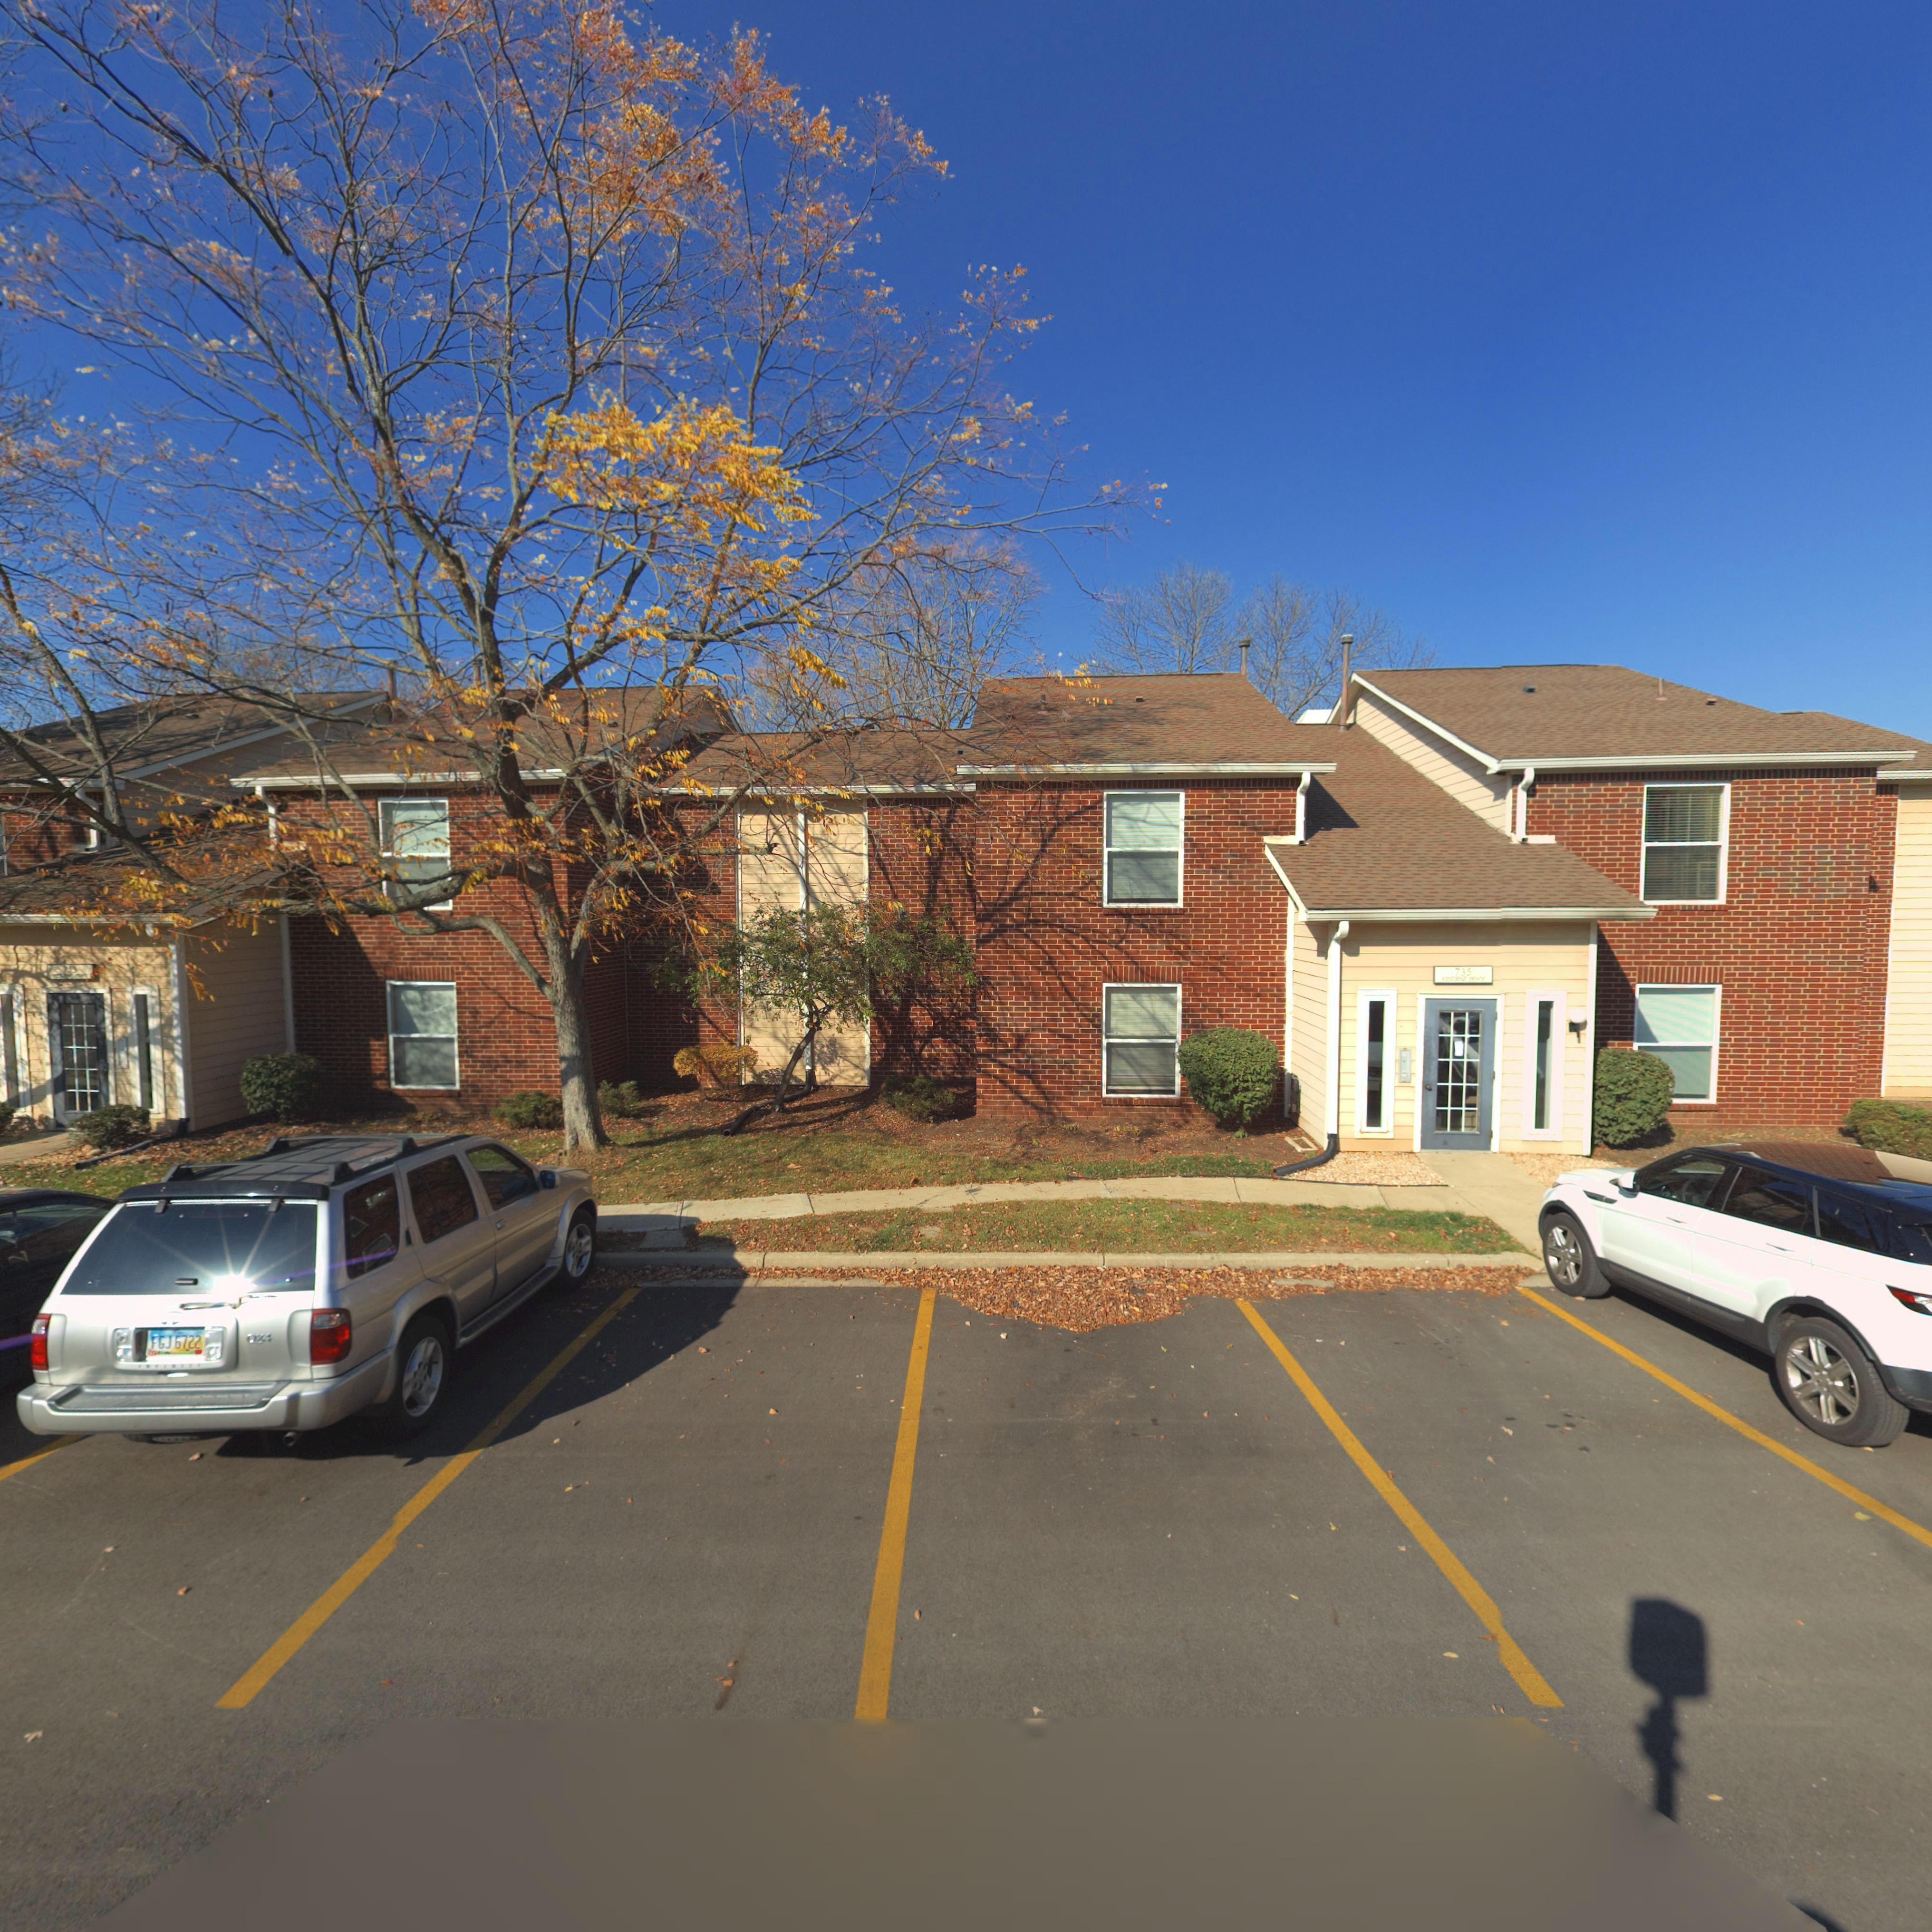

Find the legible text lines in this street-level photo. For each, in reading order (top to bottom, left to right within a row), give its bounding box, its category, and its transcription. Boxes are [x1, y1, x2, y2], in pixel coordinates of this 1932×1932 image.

[1455, 967, 1472, 976] StreetNumber: 735
[1440, 976, 1485, 982] StreetName: RESIDENZ PKWY
[149, 1334, 201, 1349] None: FGJ6722
[246, 1332, 273, 1345] None: QX4